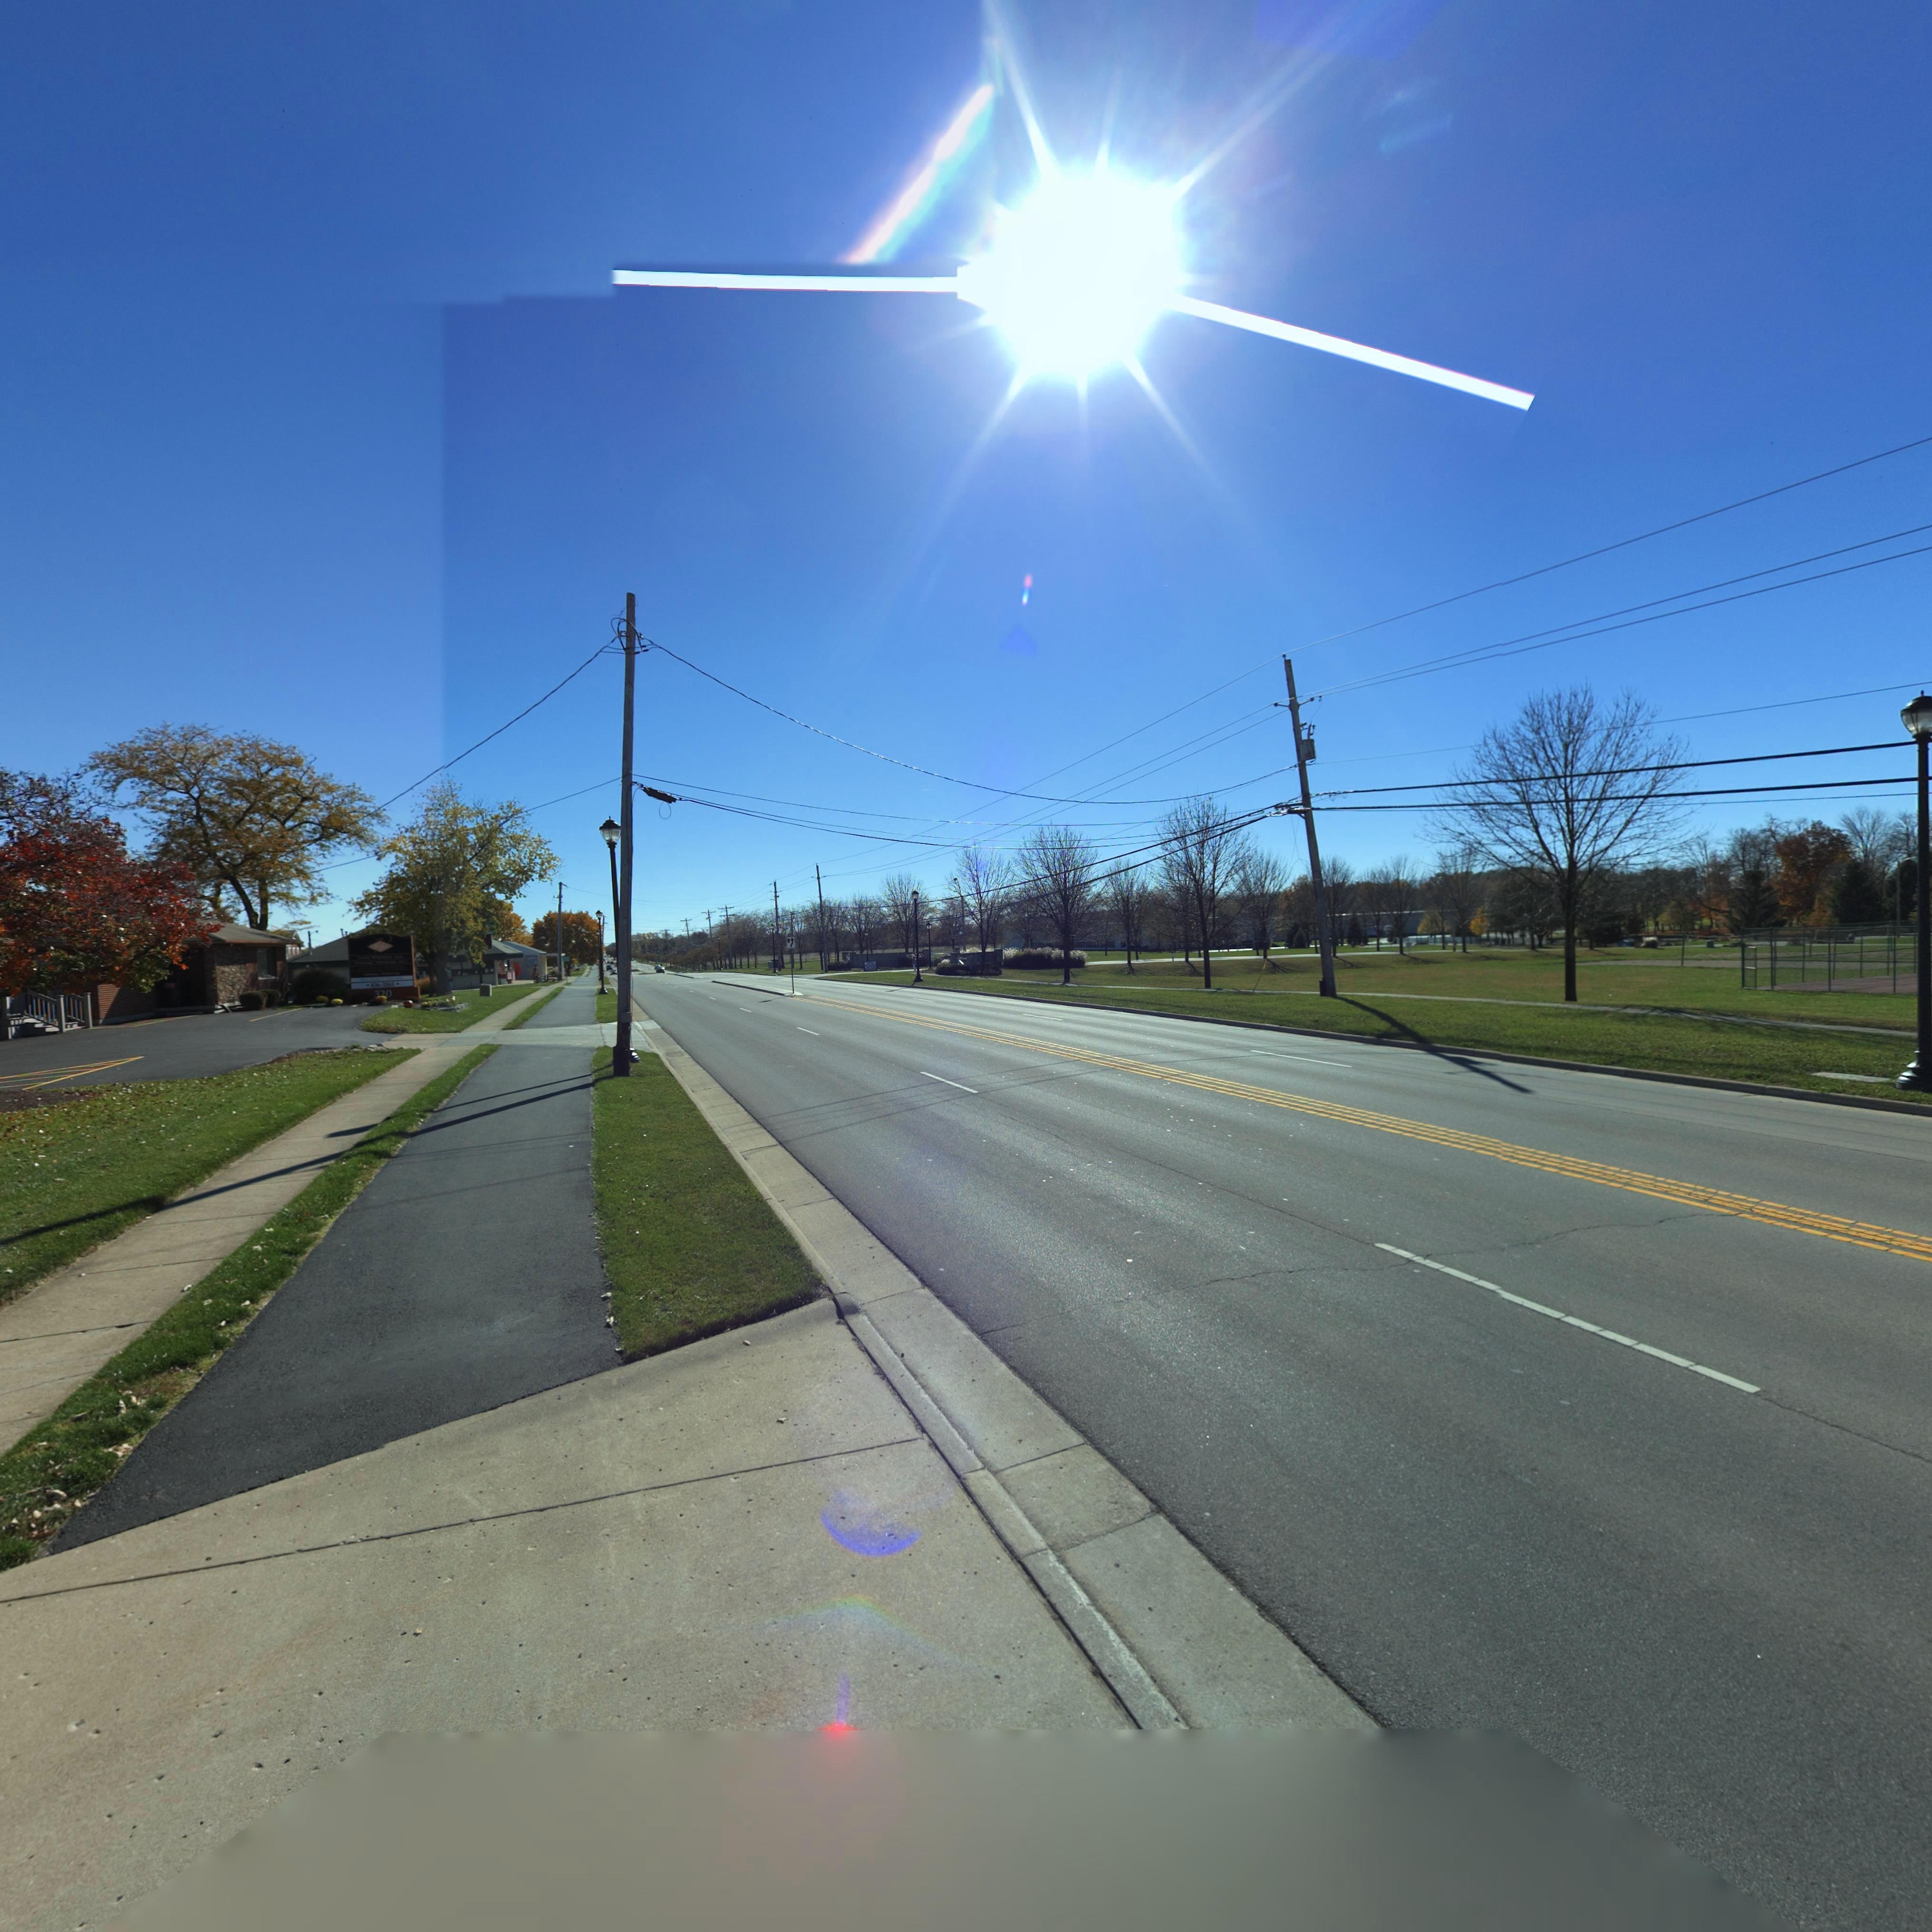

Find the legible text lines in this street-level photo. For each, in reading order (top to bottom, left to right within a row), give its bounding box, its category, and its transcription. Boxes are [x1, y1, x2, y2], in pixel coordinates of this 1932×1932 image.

[370, 981, 395, 988] None: 836-3565
[373, 988, 393, 999] StreetNumber: **0